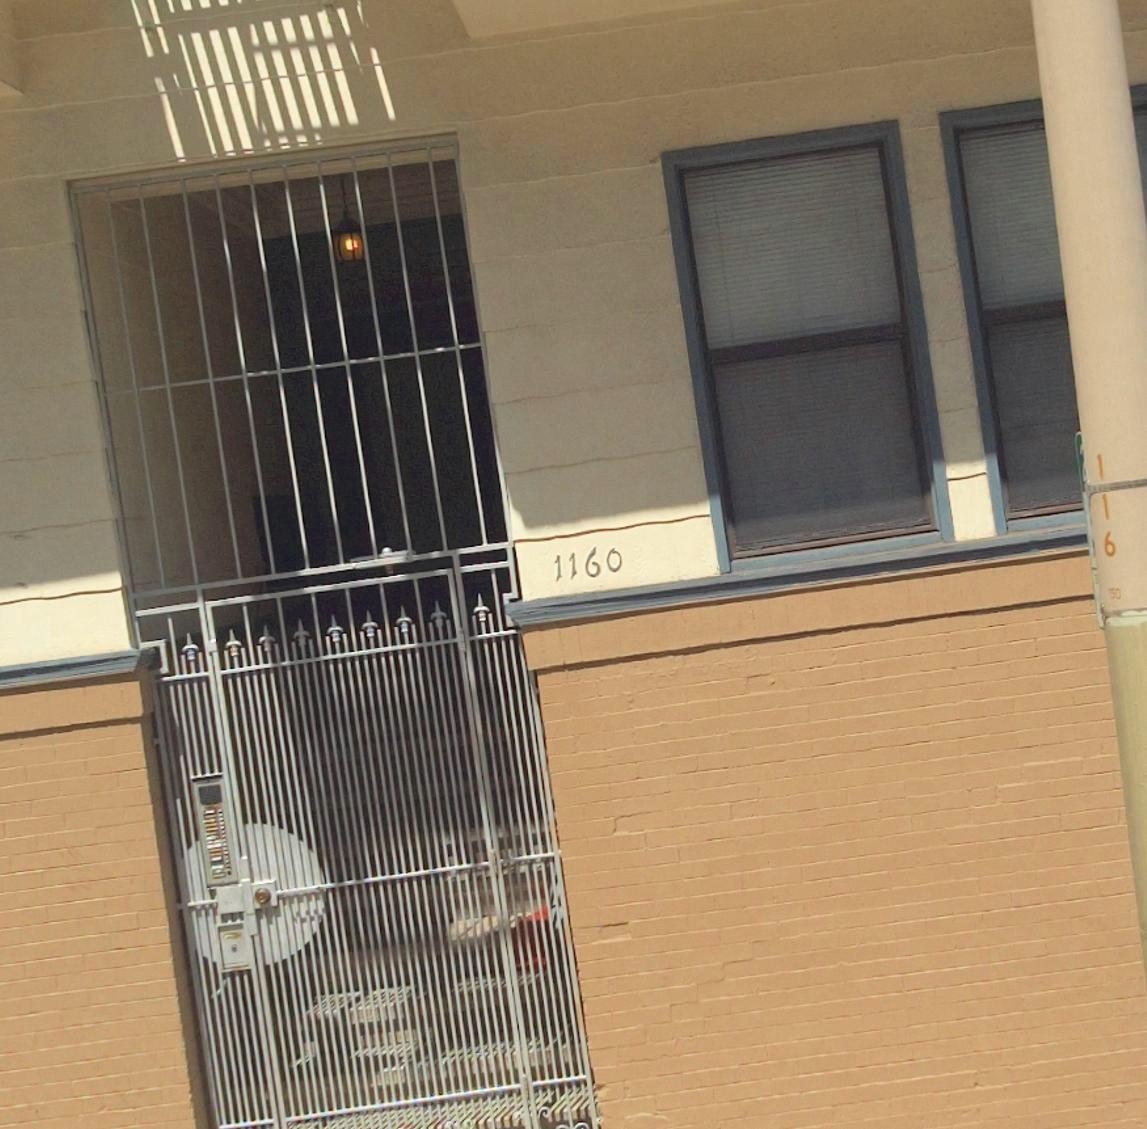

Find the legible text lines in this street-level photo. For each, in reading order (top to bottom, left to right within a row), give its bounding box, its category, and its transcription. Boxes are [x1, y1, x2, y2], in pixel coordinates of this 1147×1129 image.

[1090, 449, 1120, 563] None: 116
[554, 547, 623, 583] StreetNumber: 1160
[1106, 585, 1124, 605] None: 50